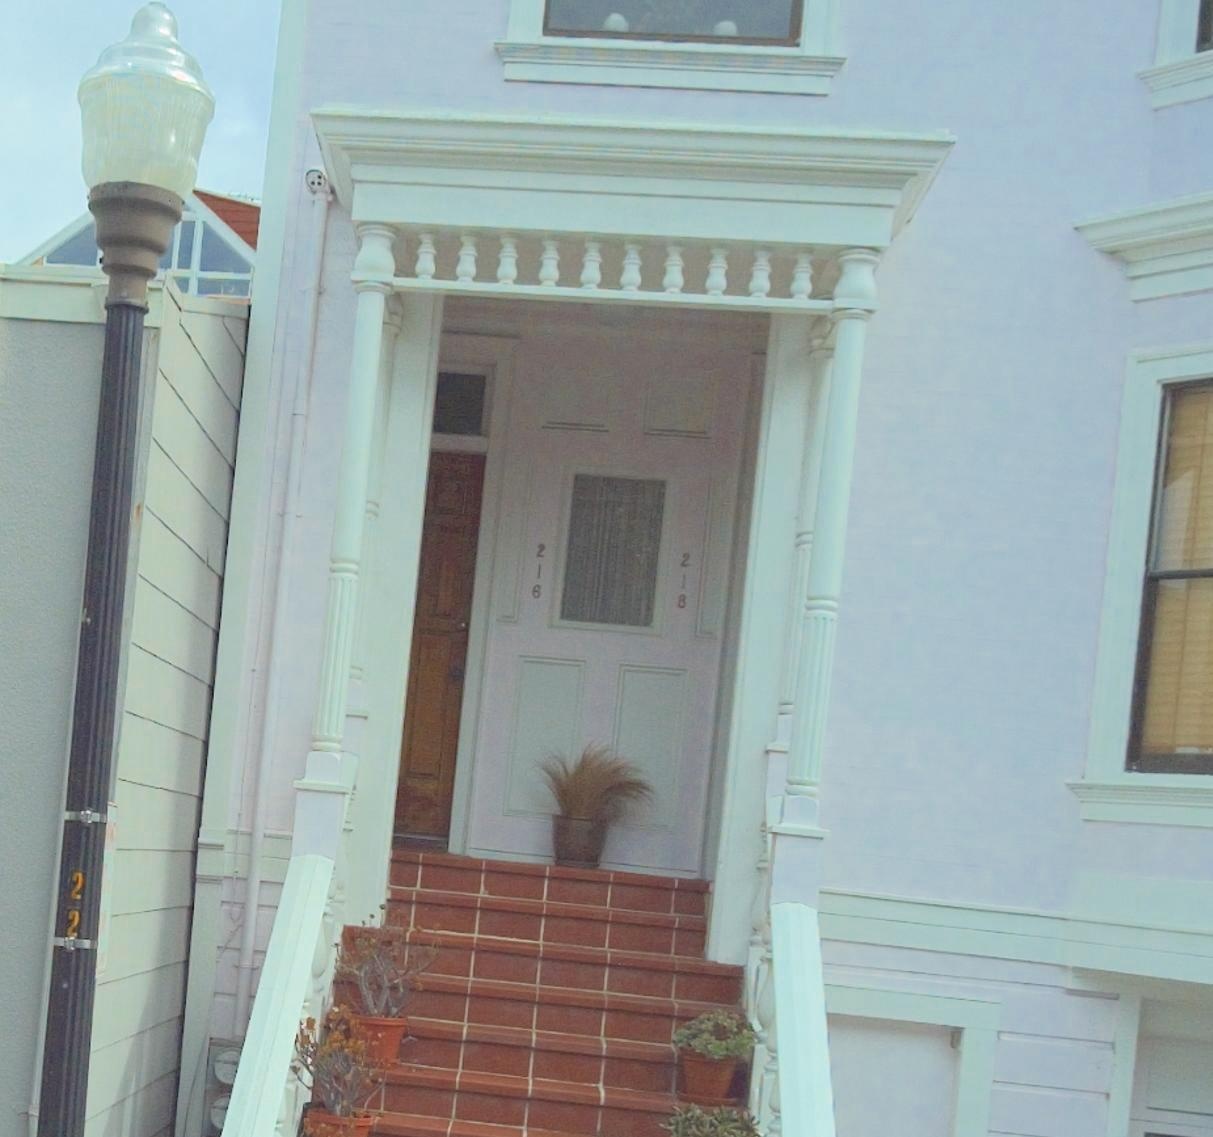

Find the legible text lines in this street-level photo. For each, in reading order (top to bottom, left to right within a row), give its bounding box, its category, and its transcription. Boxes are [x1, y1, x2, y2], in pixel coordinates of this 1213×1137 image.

[528, 540, 550, 602] StreetNumber: 216
[674, 548, 695, 612] StreetNumber: 218
[63, 868, 86, 941] None: 22